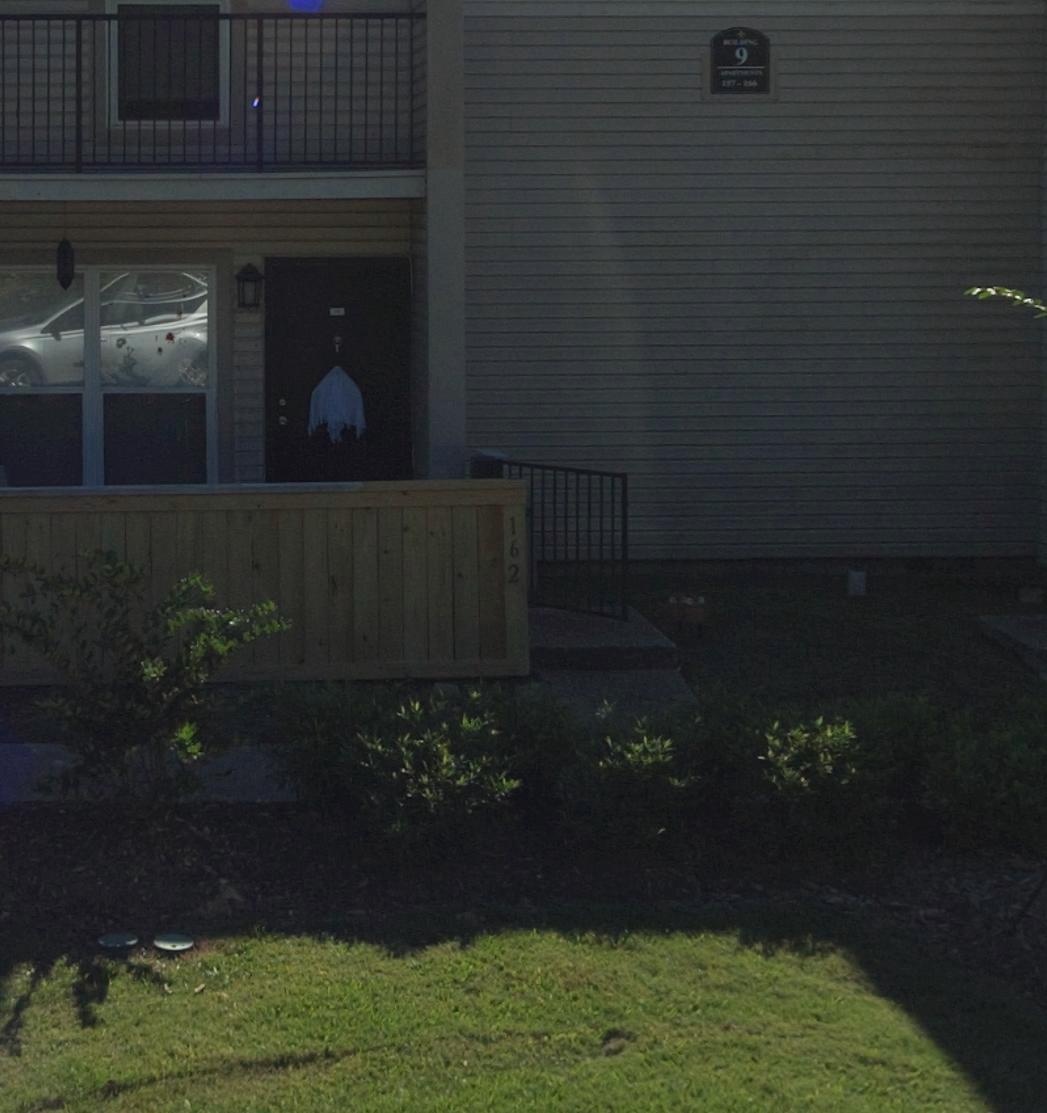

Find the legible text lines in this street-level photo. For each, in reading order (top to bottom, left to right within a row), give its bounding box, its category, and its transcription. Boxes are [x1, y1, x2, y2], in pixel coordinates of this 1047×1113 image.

[732, 44, 751, 69] None: 9
[505, 514, 523, 586] StreetNumber: 162